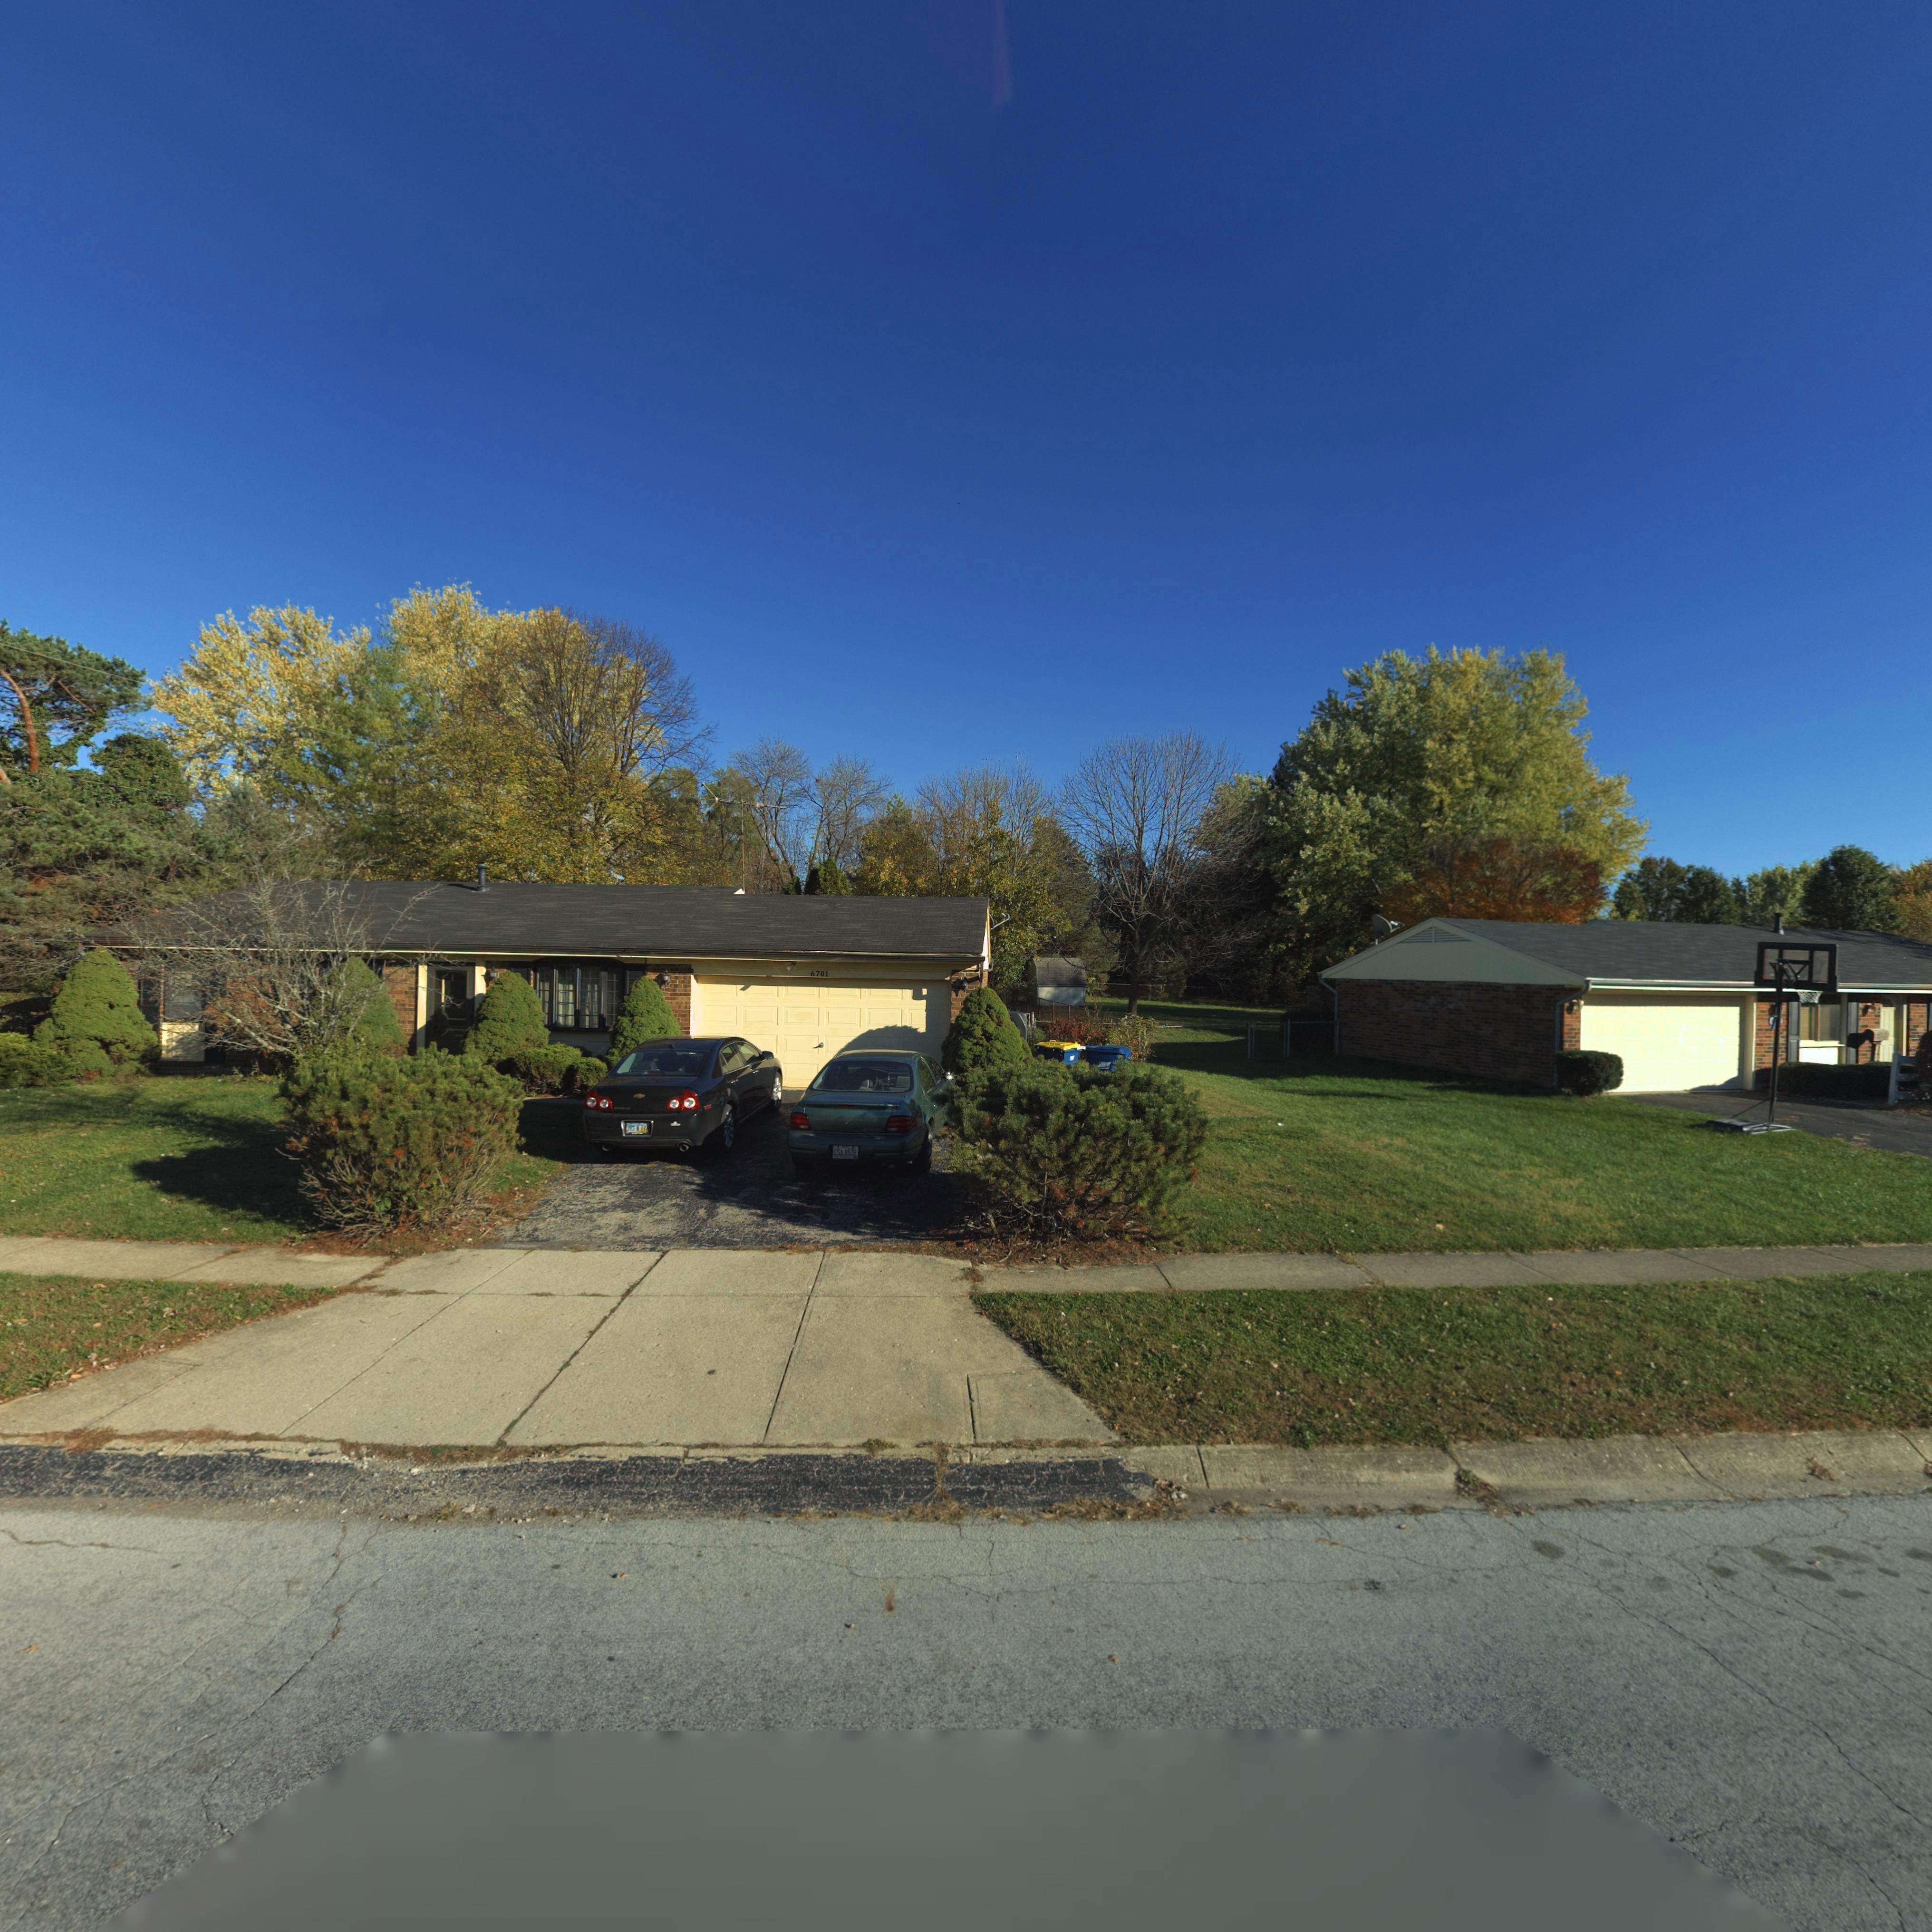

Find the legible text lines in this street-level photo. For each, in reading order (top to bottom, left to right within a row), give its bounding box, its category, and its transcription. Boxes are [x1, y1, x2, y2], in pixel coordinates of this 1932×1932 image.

[810, 970, 828, 977] StreetNumber: 6701